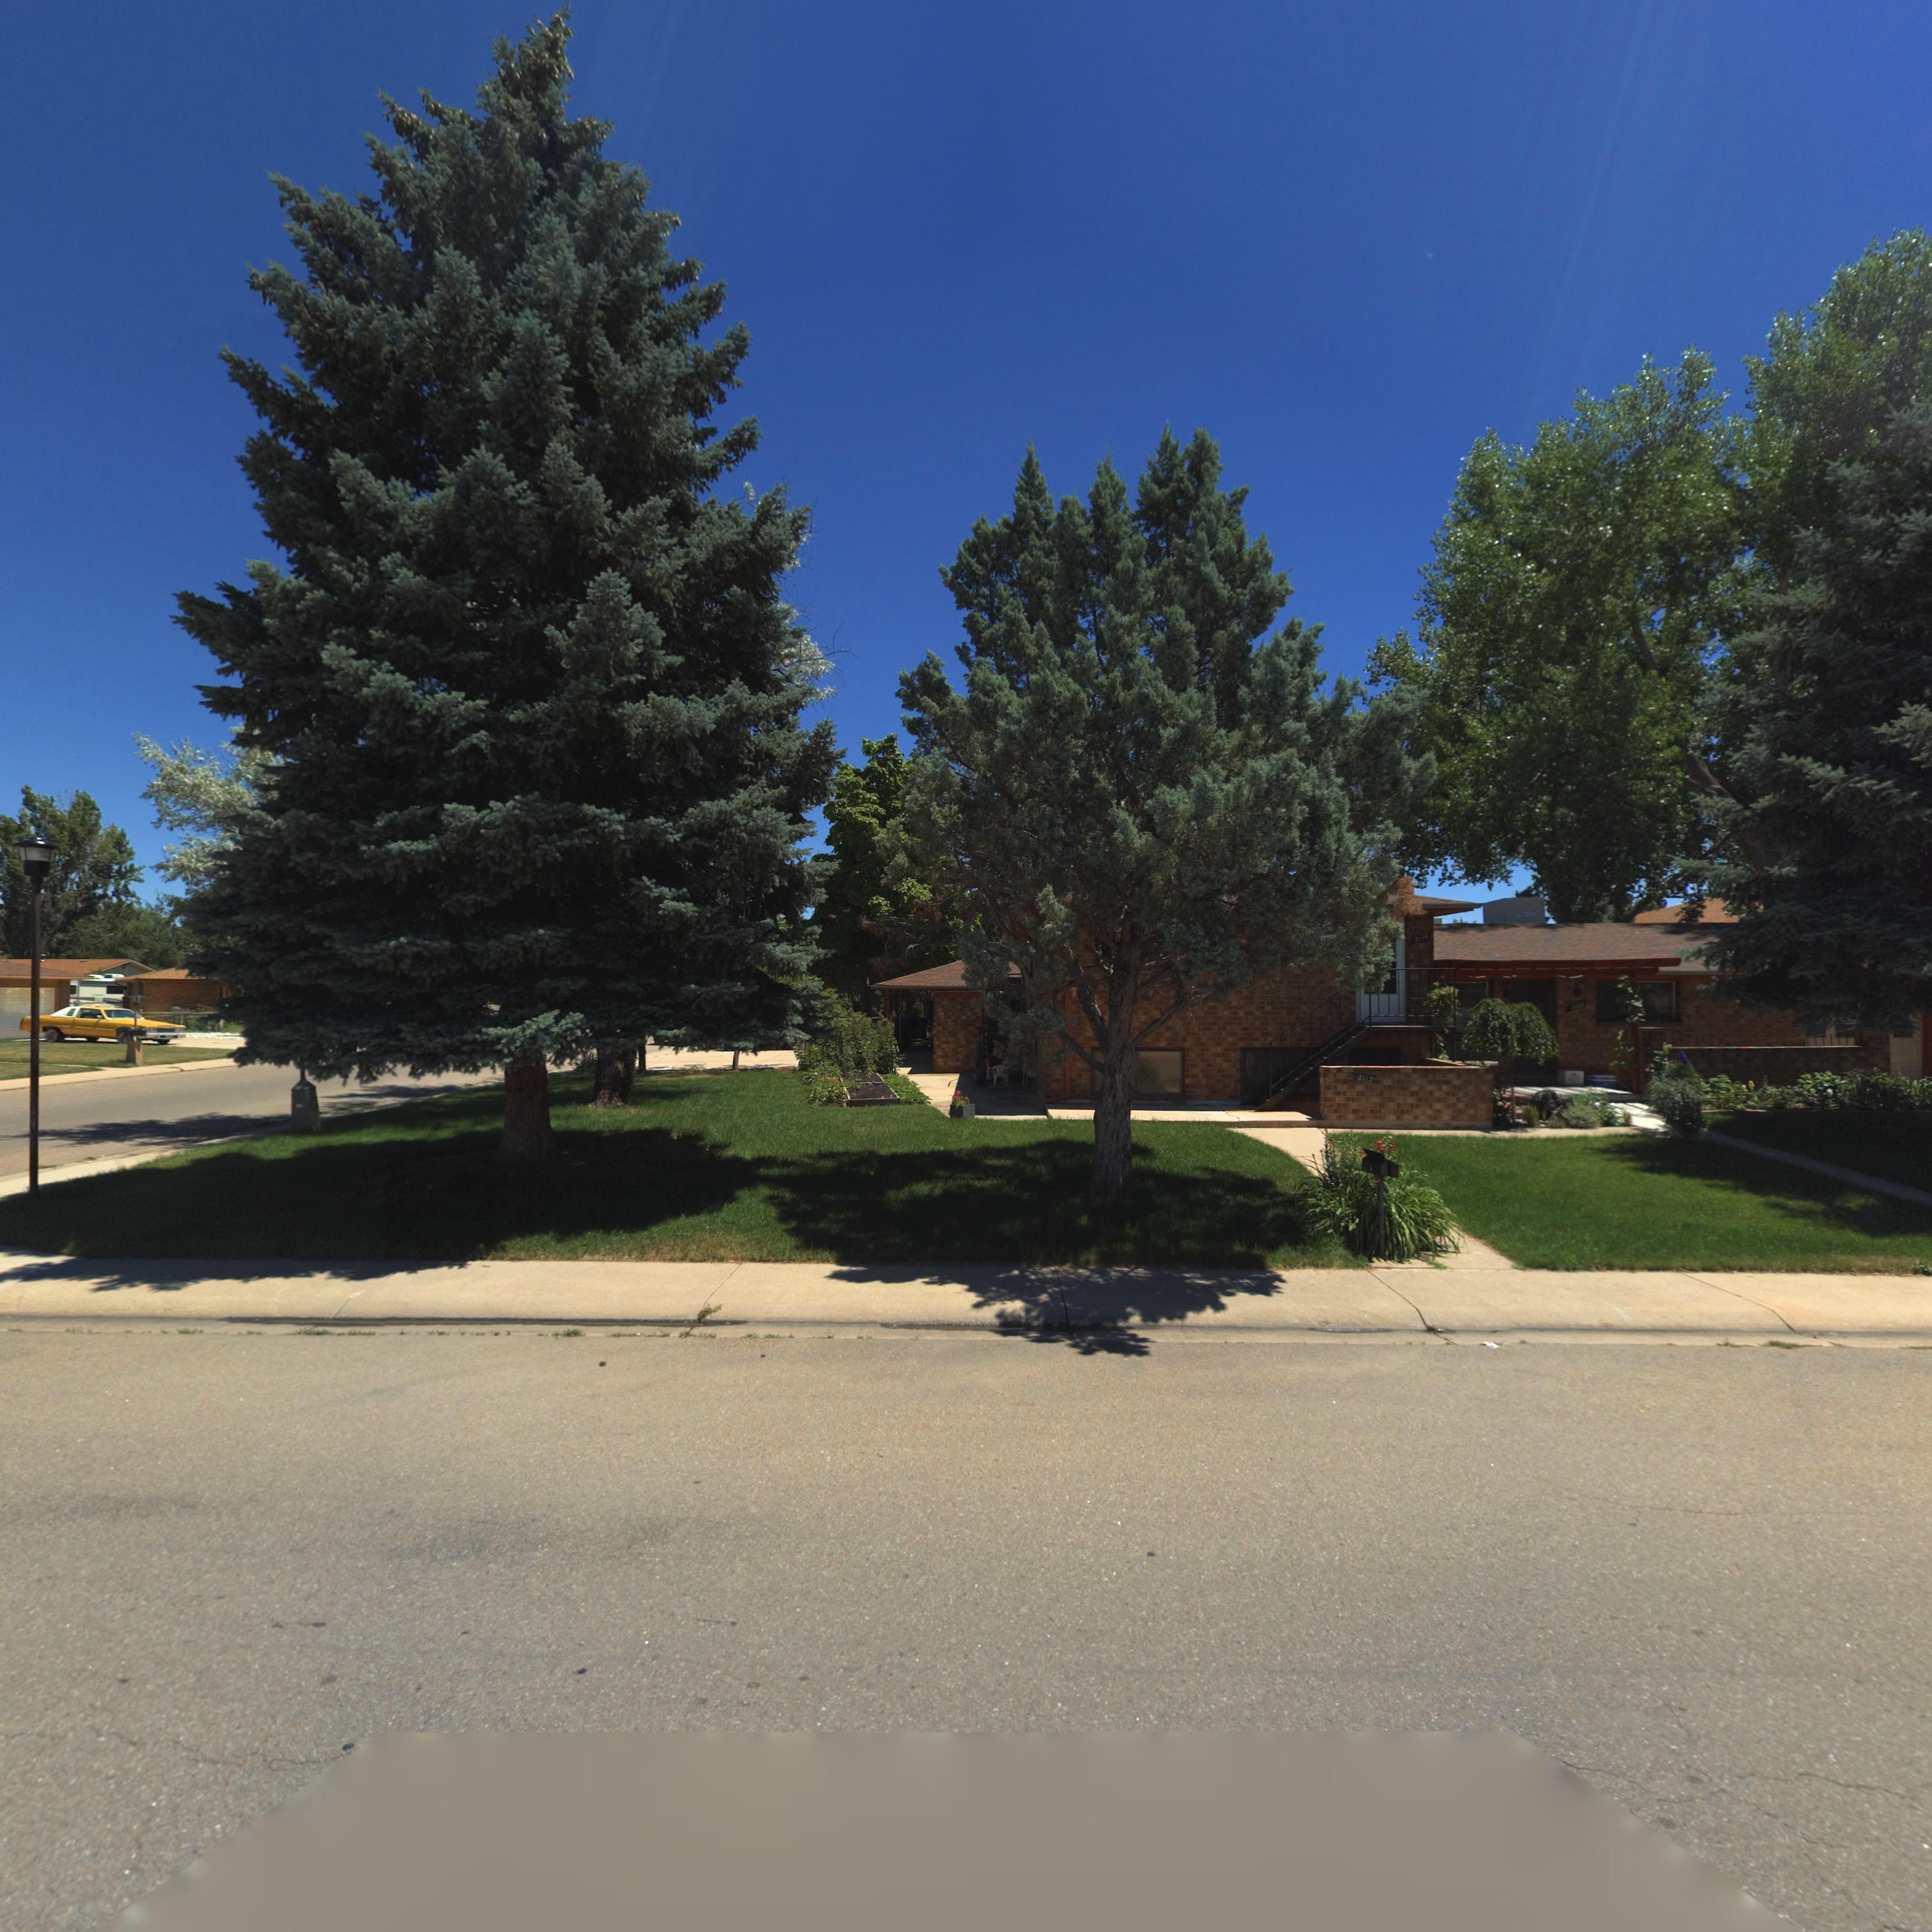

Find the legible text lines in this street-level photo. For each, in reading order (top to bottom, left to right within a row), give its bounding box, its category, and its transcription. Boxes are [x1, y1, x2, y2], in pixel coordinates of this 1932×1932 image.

[1570, 1001, 1584, 1011] StreetNumber: 2***
[1356, 1074, 1374, 1082] StreetNumber: 2112